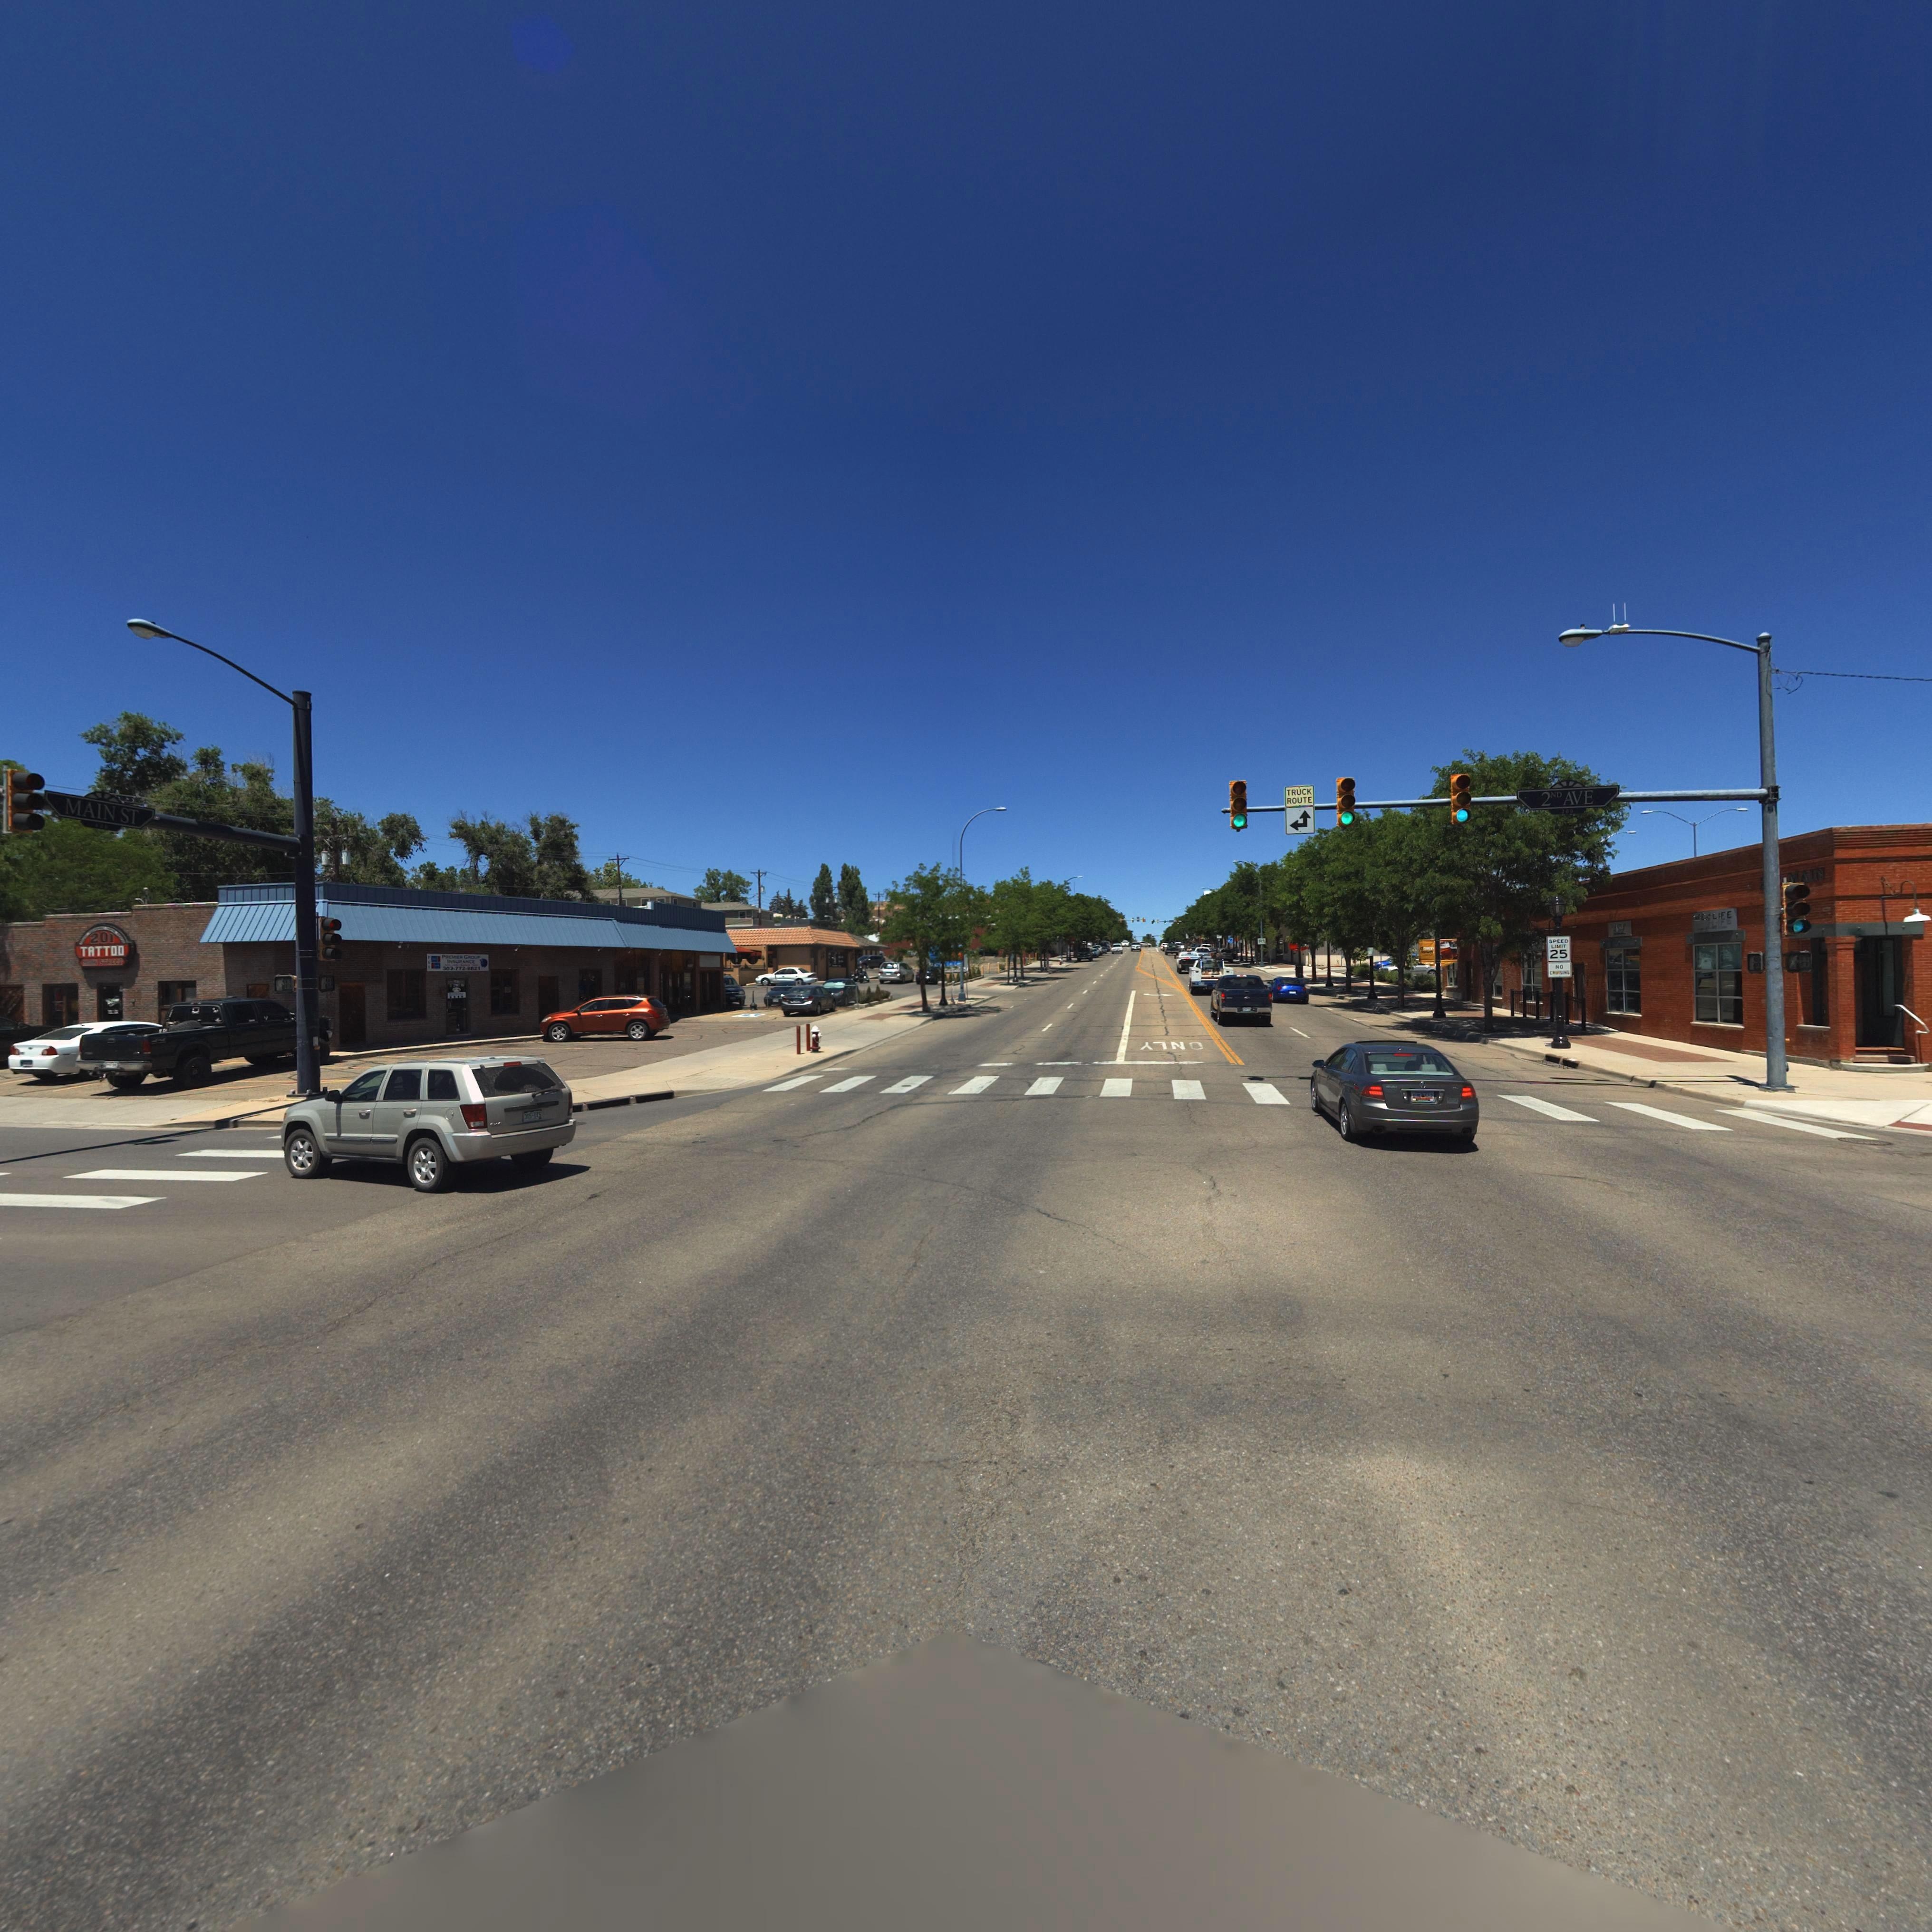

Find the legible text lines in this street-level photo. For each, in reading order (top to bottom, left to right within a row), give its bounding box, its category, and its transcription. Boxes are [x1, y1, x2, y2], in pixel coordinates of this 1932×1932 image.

[1540, 789, 1594, 807] StreetName: 2ND AVE
[65, 797, 140, 825] StreetName: MAIN ST
[1561, 809, 1574, 814] StreetNumberRange: 200
[1787, 866, 1825, 883] StreetName: MAIN
[1692, 910, 1732, 921] BusinessName: **** LIFE
[90, 931, 113, 943] StreetNumber: 201
[80, 945, 124, 956] BusinessName: TATTOO
[99, 958, 123, 965] StreetName: S**EET
[427, 956, 430, 968] BusinessName: PGI
[441, 954, 481, 959] BusinessName: PREM*ER G*OUP
[447, 958, 475, 964] BusinessName: IN**RANCE